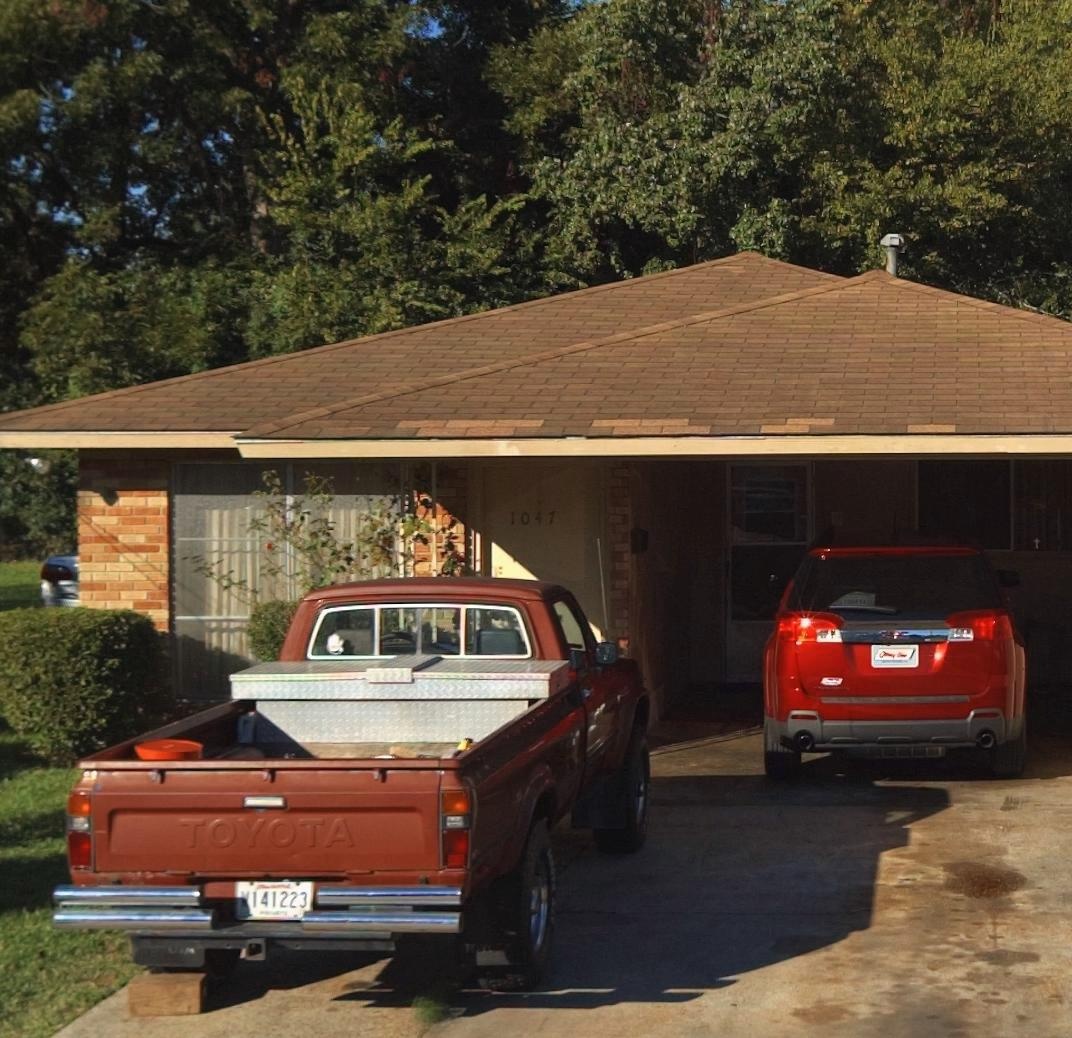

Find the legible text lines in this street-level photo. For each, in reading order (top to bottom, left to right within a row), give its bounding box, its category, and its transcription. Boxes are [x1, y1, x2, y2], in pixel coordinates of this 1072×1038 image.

[508, 509, 557, 527] StreetNumber: 1047
[177, 815, 357, 851] None: TOYOTA
[238, 889, 309, 909] None: W141223